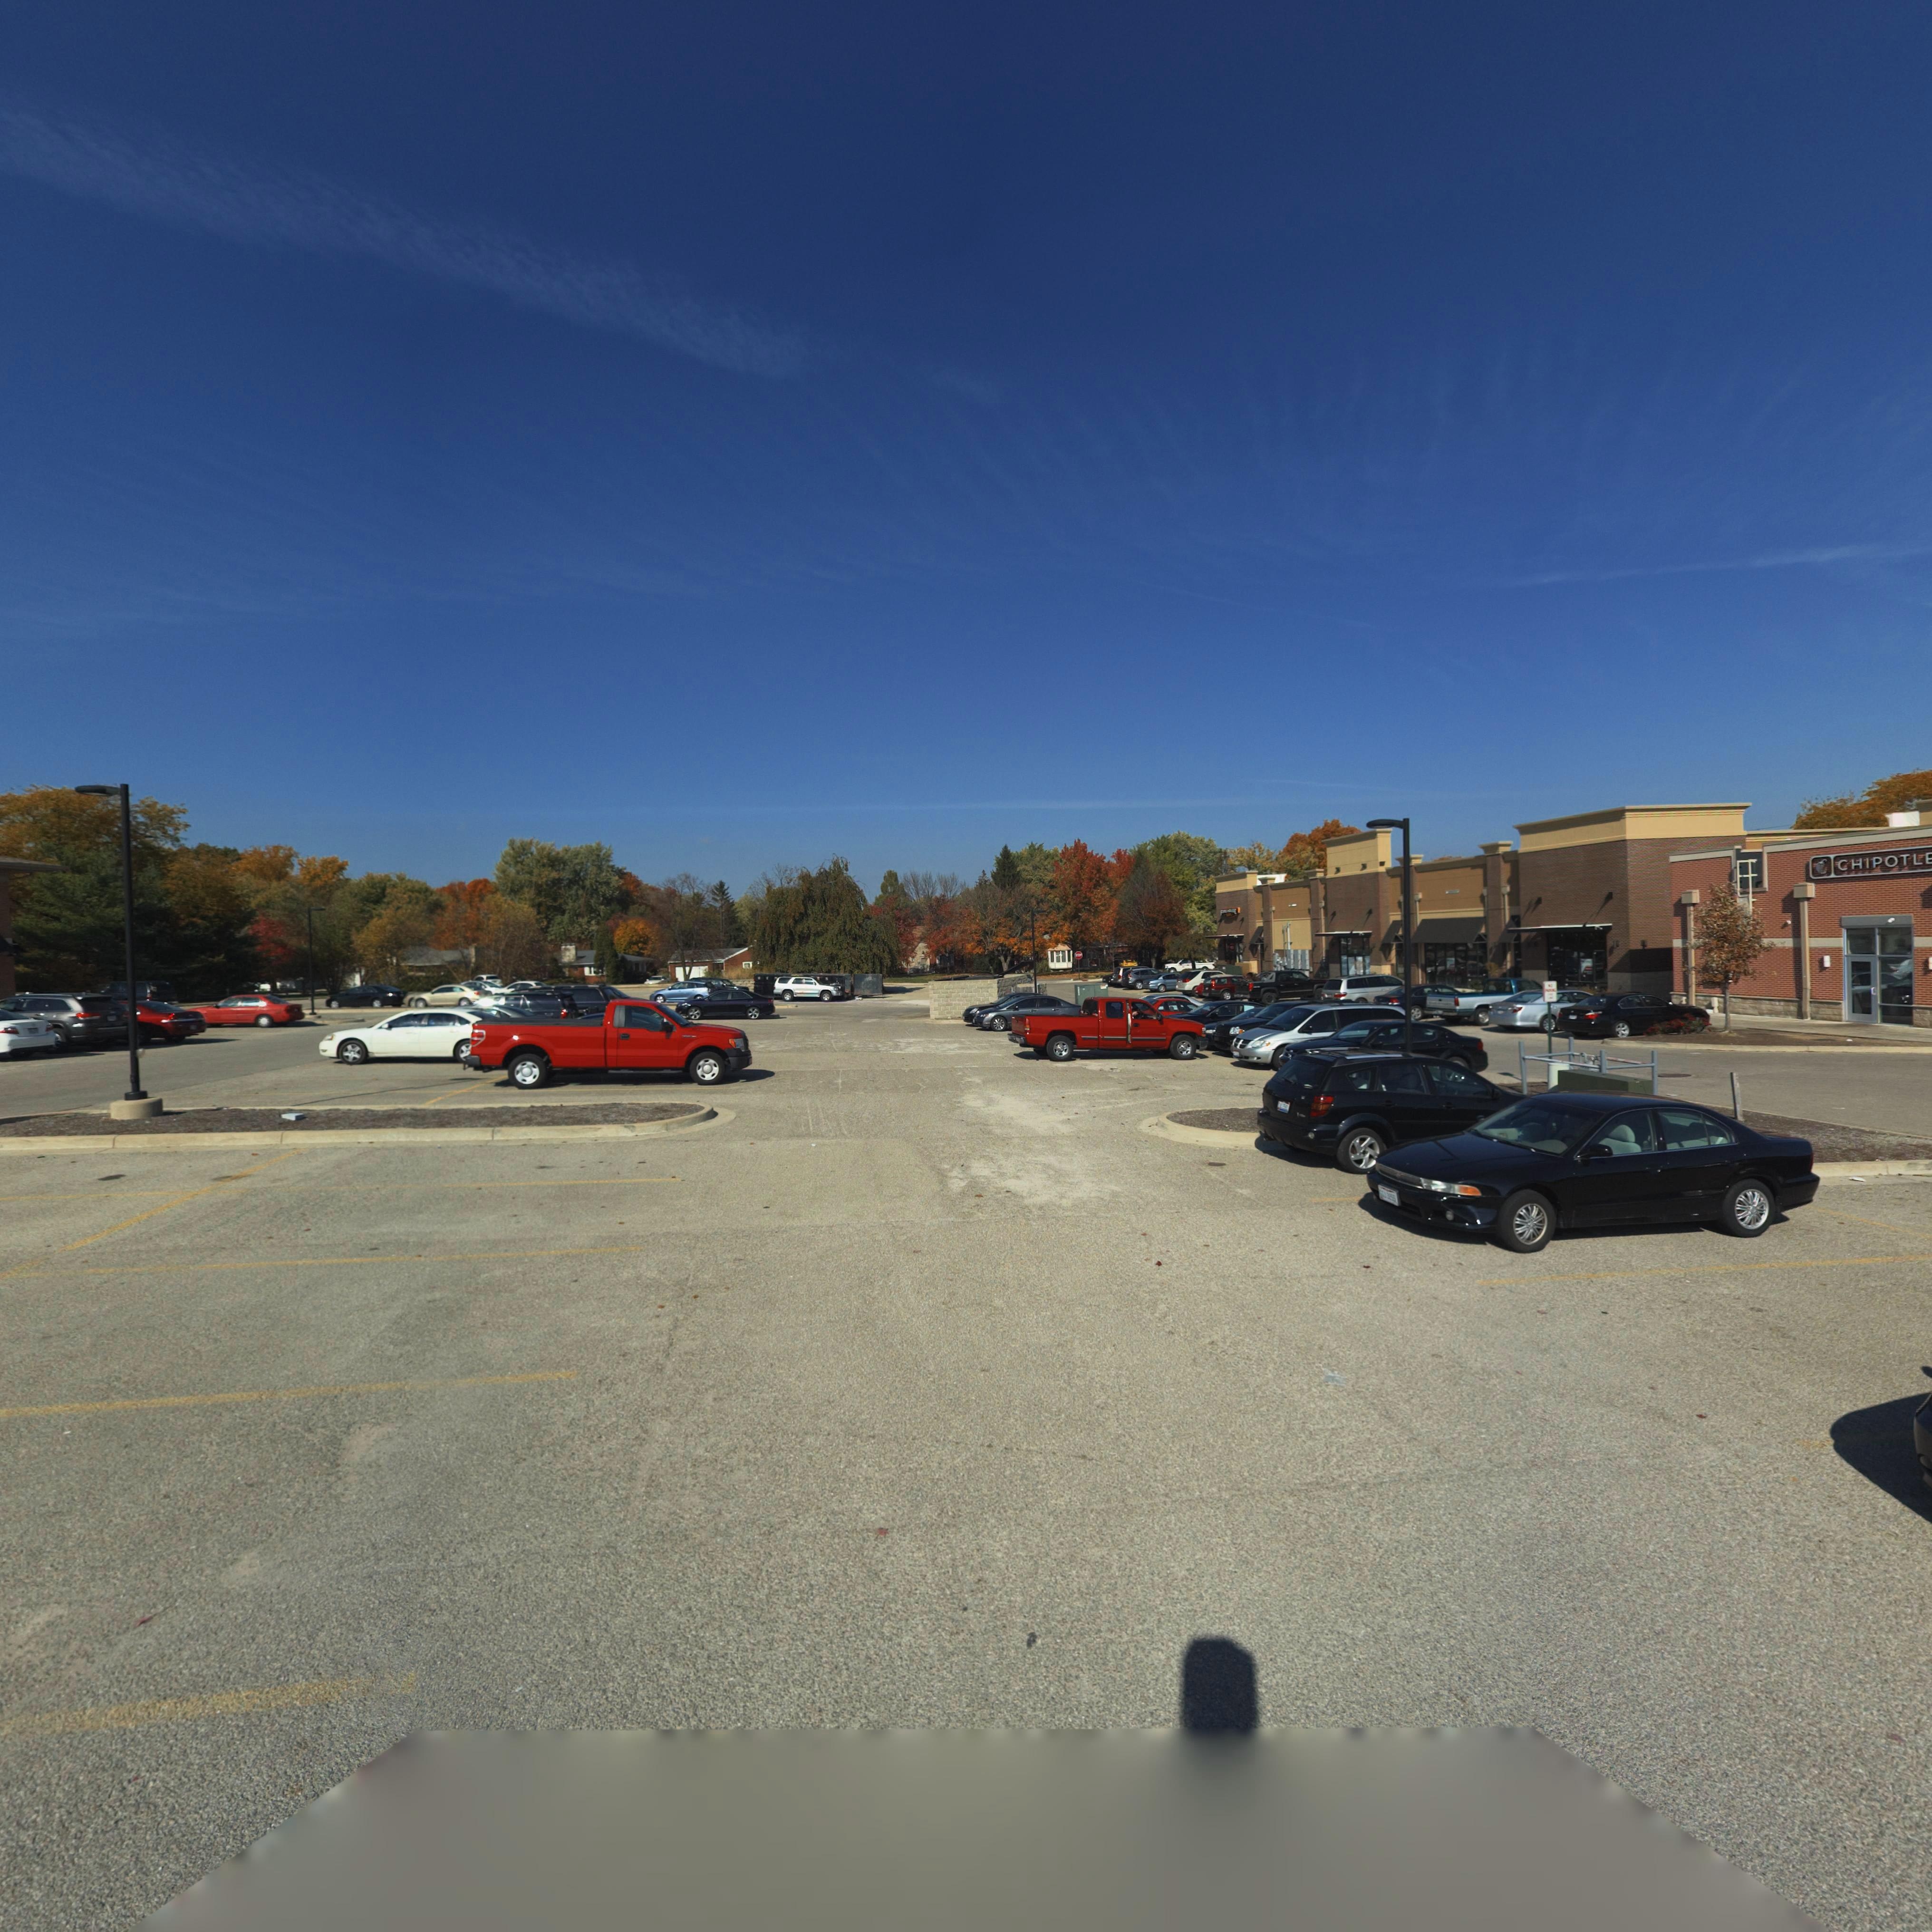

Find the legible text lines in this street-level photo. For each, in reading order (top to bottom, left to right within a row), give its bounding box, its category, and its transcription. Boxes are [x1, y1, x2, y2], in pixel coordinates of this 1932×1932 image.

[1836, 852, 1924, 872] BusinessName: CHIPOTL